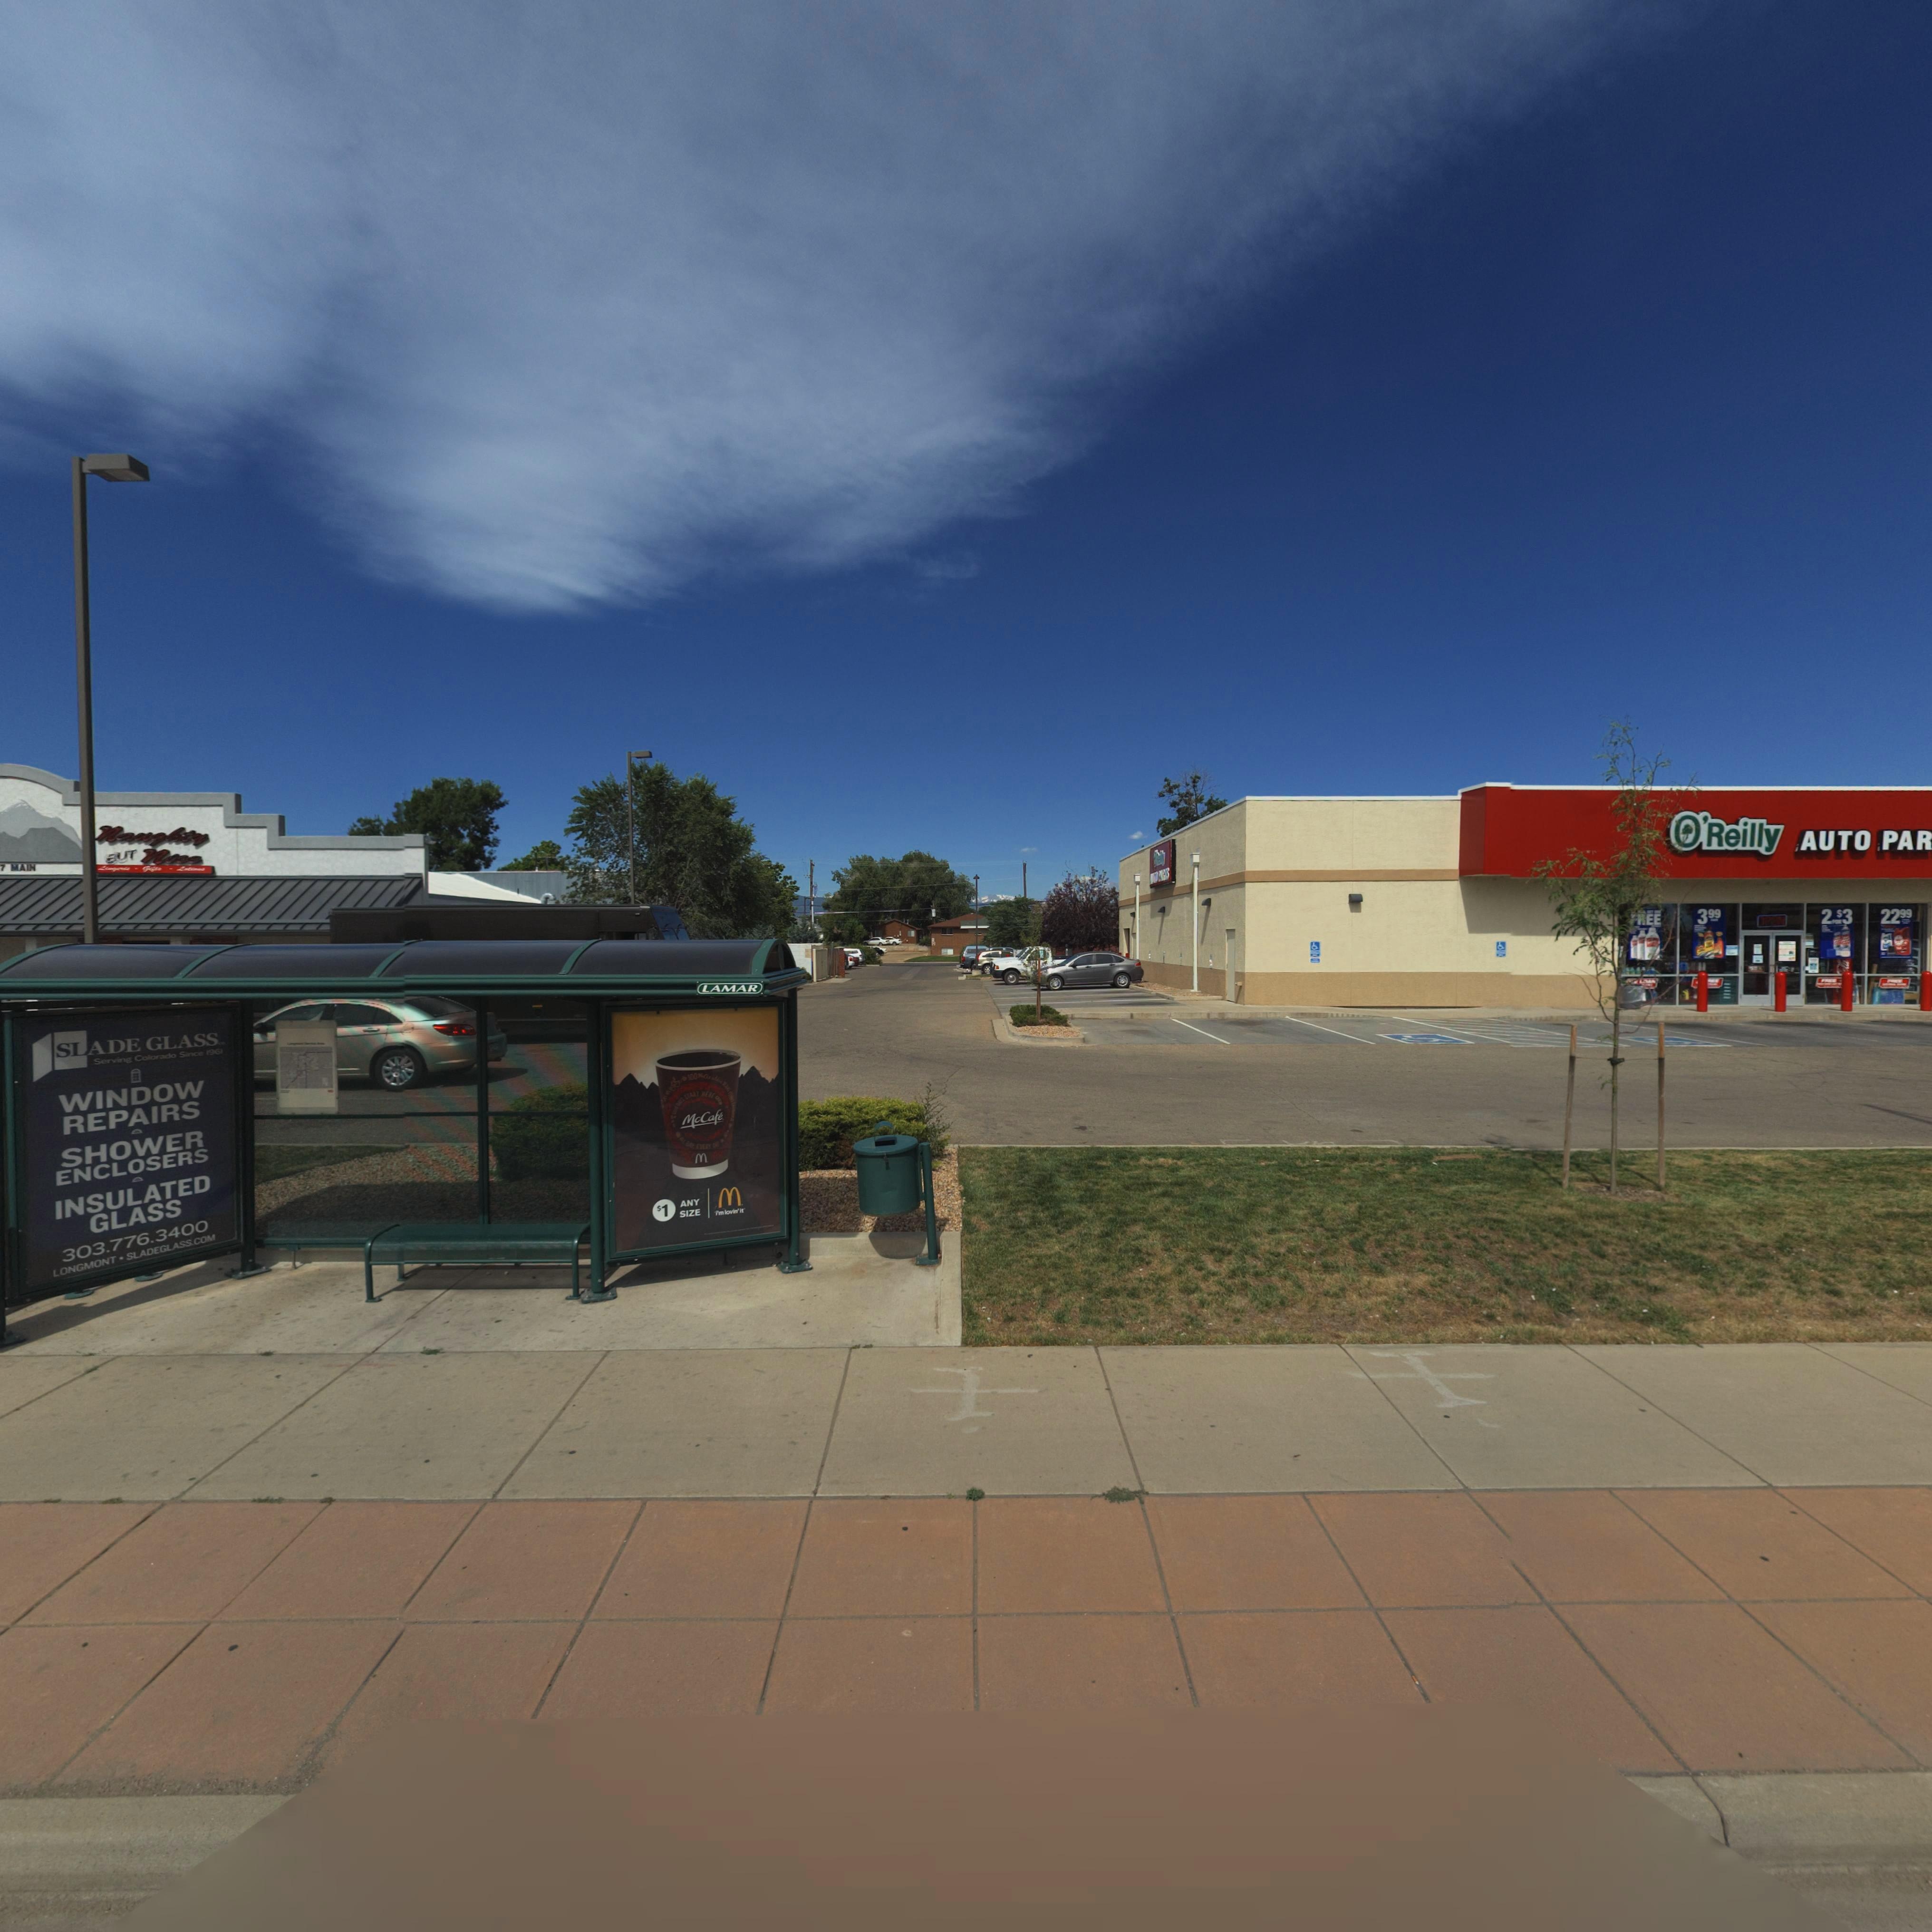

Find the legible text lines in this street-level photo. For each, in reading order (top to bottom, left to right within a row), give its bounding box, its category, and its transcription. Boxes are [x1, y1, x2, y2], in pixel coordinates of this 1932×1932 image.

[95, 823, 211, 847] BusinessName: Na*qh**
[1674, 814, 1931, 852] BusinessName: O'Reilly Auto Par
[104, 847, 204, 865] BusinessName: BUT N*c*
[1153, 850, 1166, 867] BusinessName: ****lly
[10, 863, 35, 872] BusinessName: MAIN
[1150, 867, 1169, 884] BusinessName: ***O P*RTS